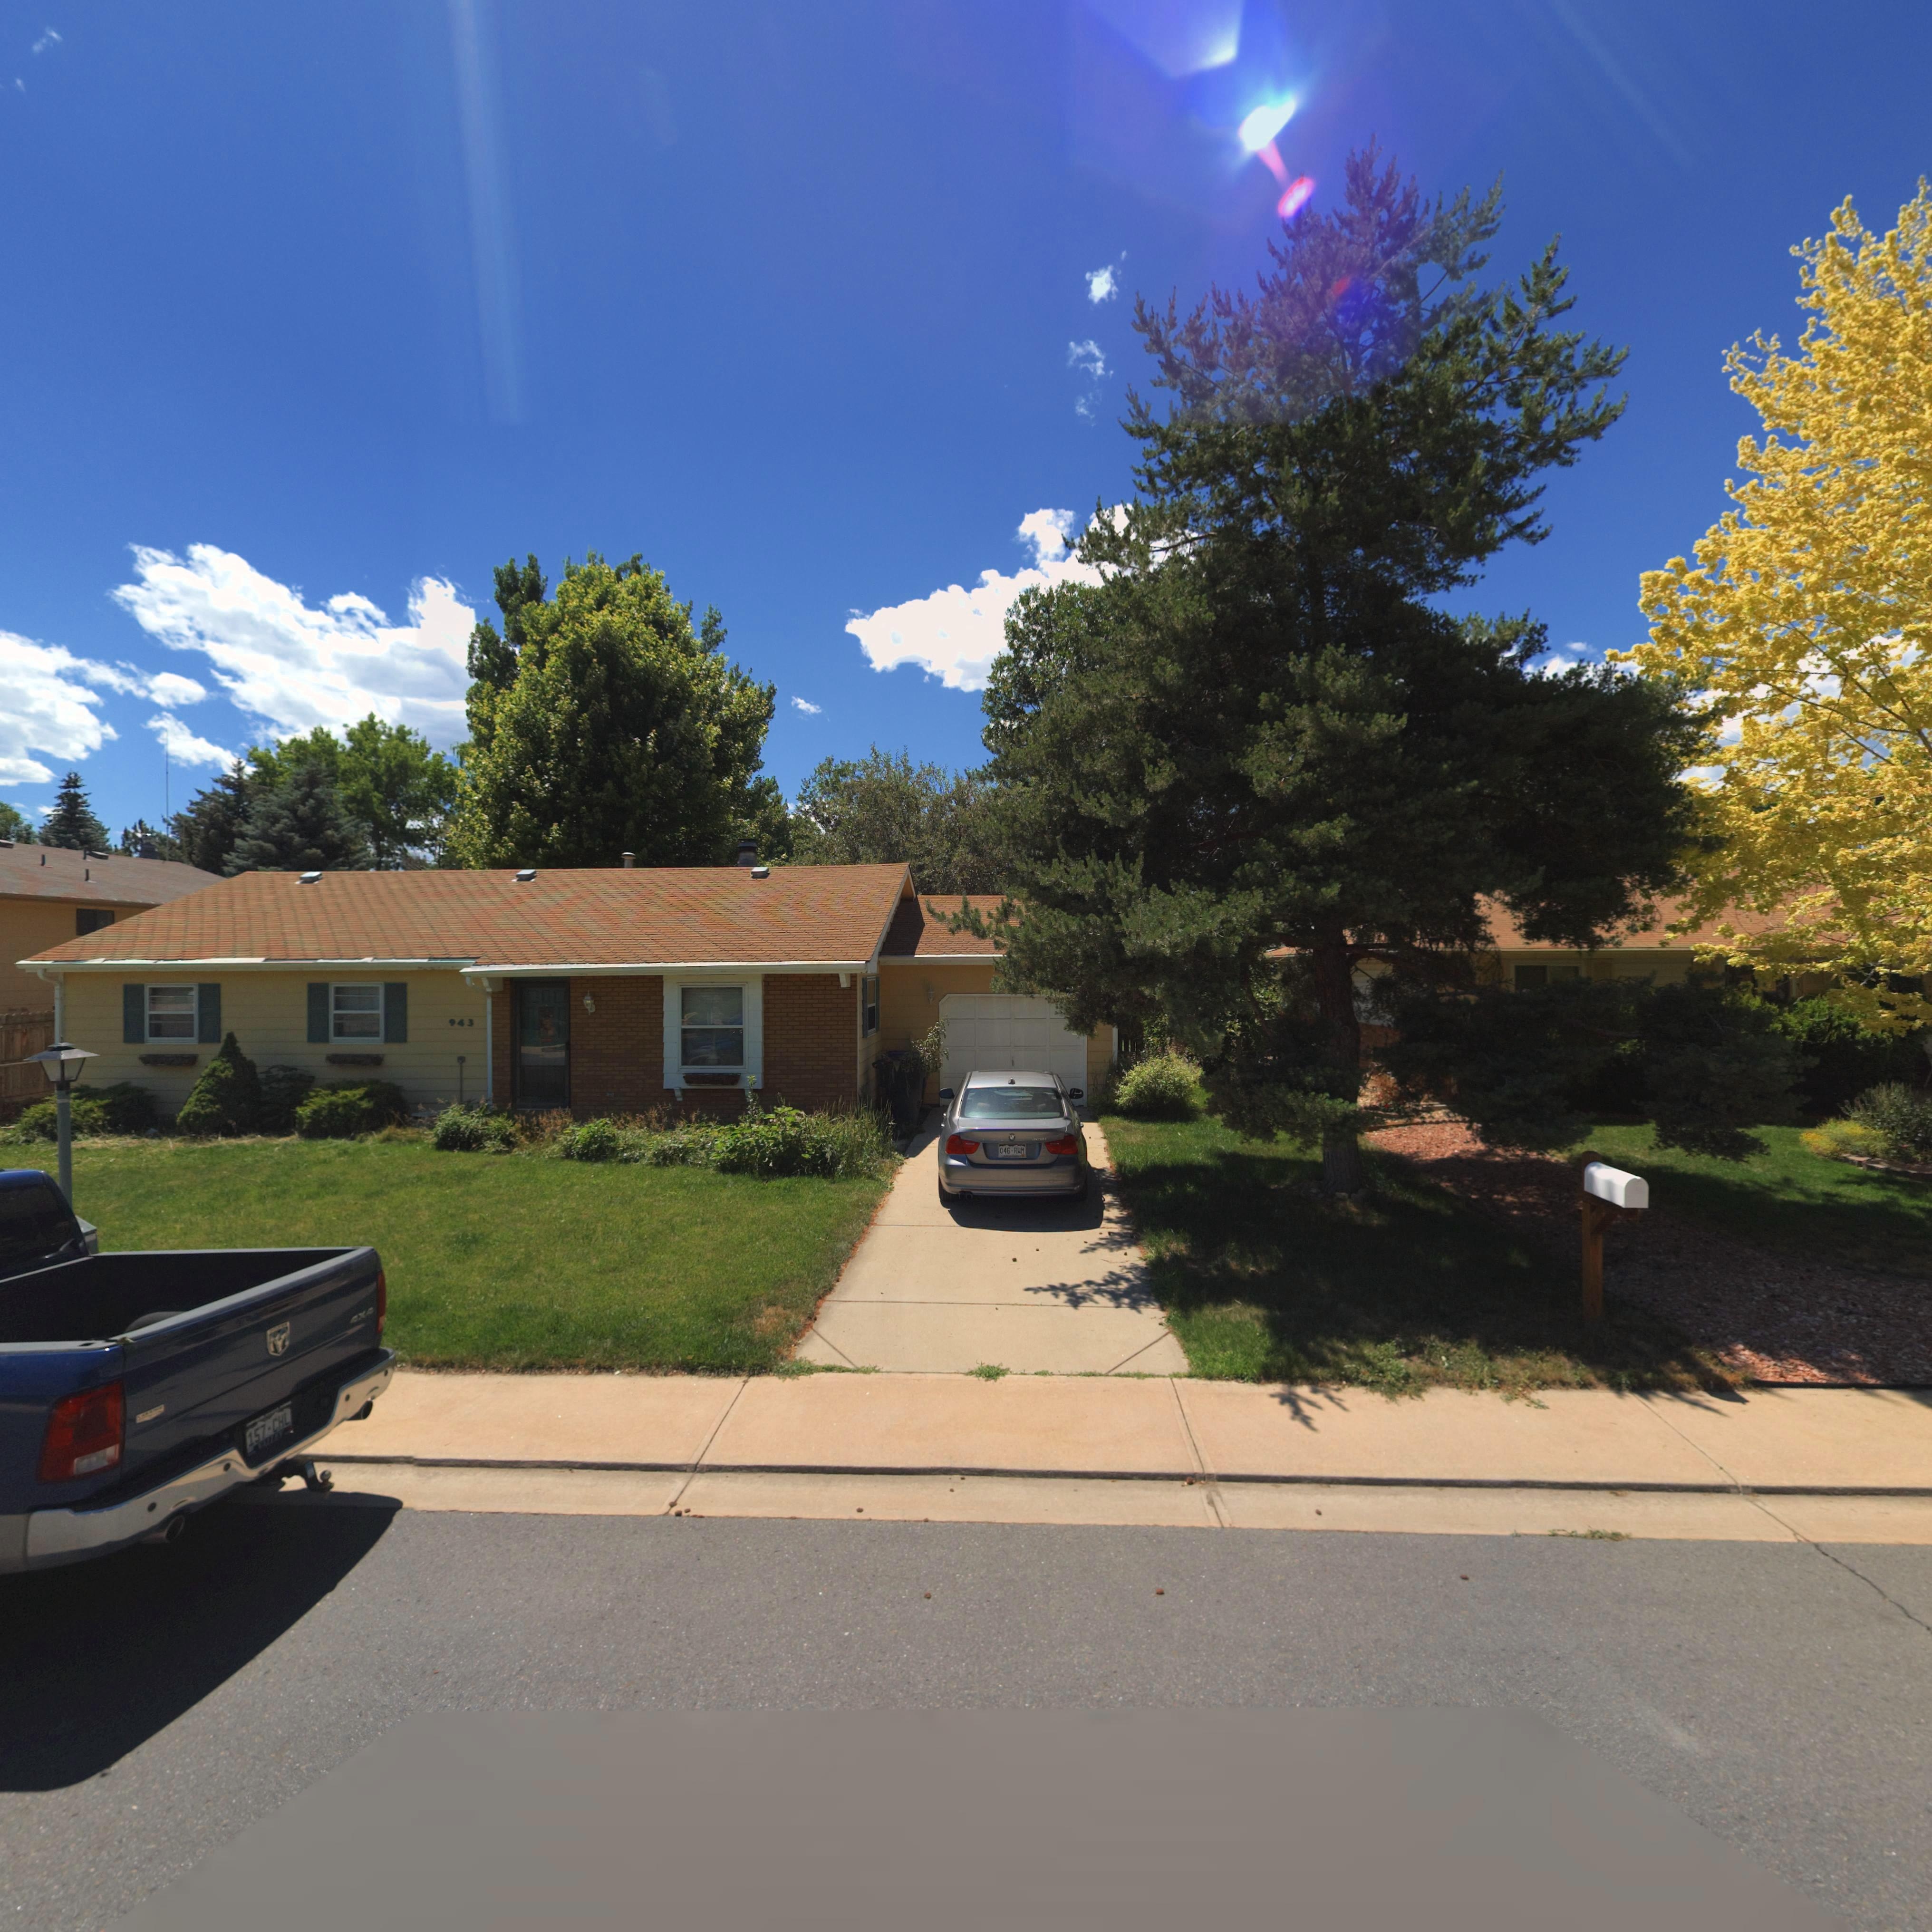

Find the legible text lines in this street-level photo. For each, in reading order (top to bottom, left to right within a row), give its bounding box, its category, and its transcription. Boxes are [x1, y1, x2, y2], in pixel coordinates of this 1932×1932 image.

[447, 1018, 474, 1027] StreetNumber: 943